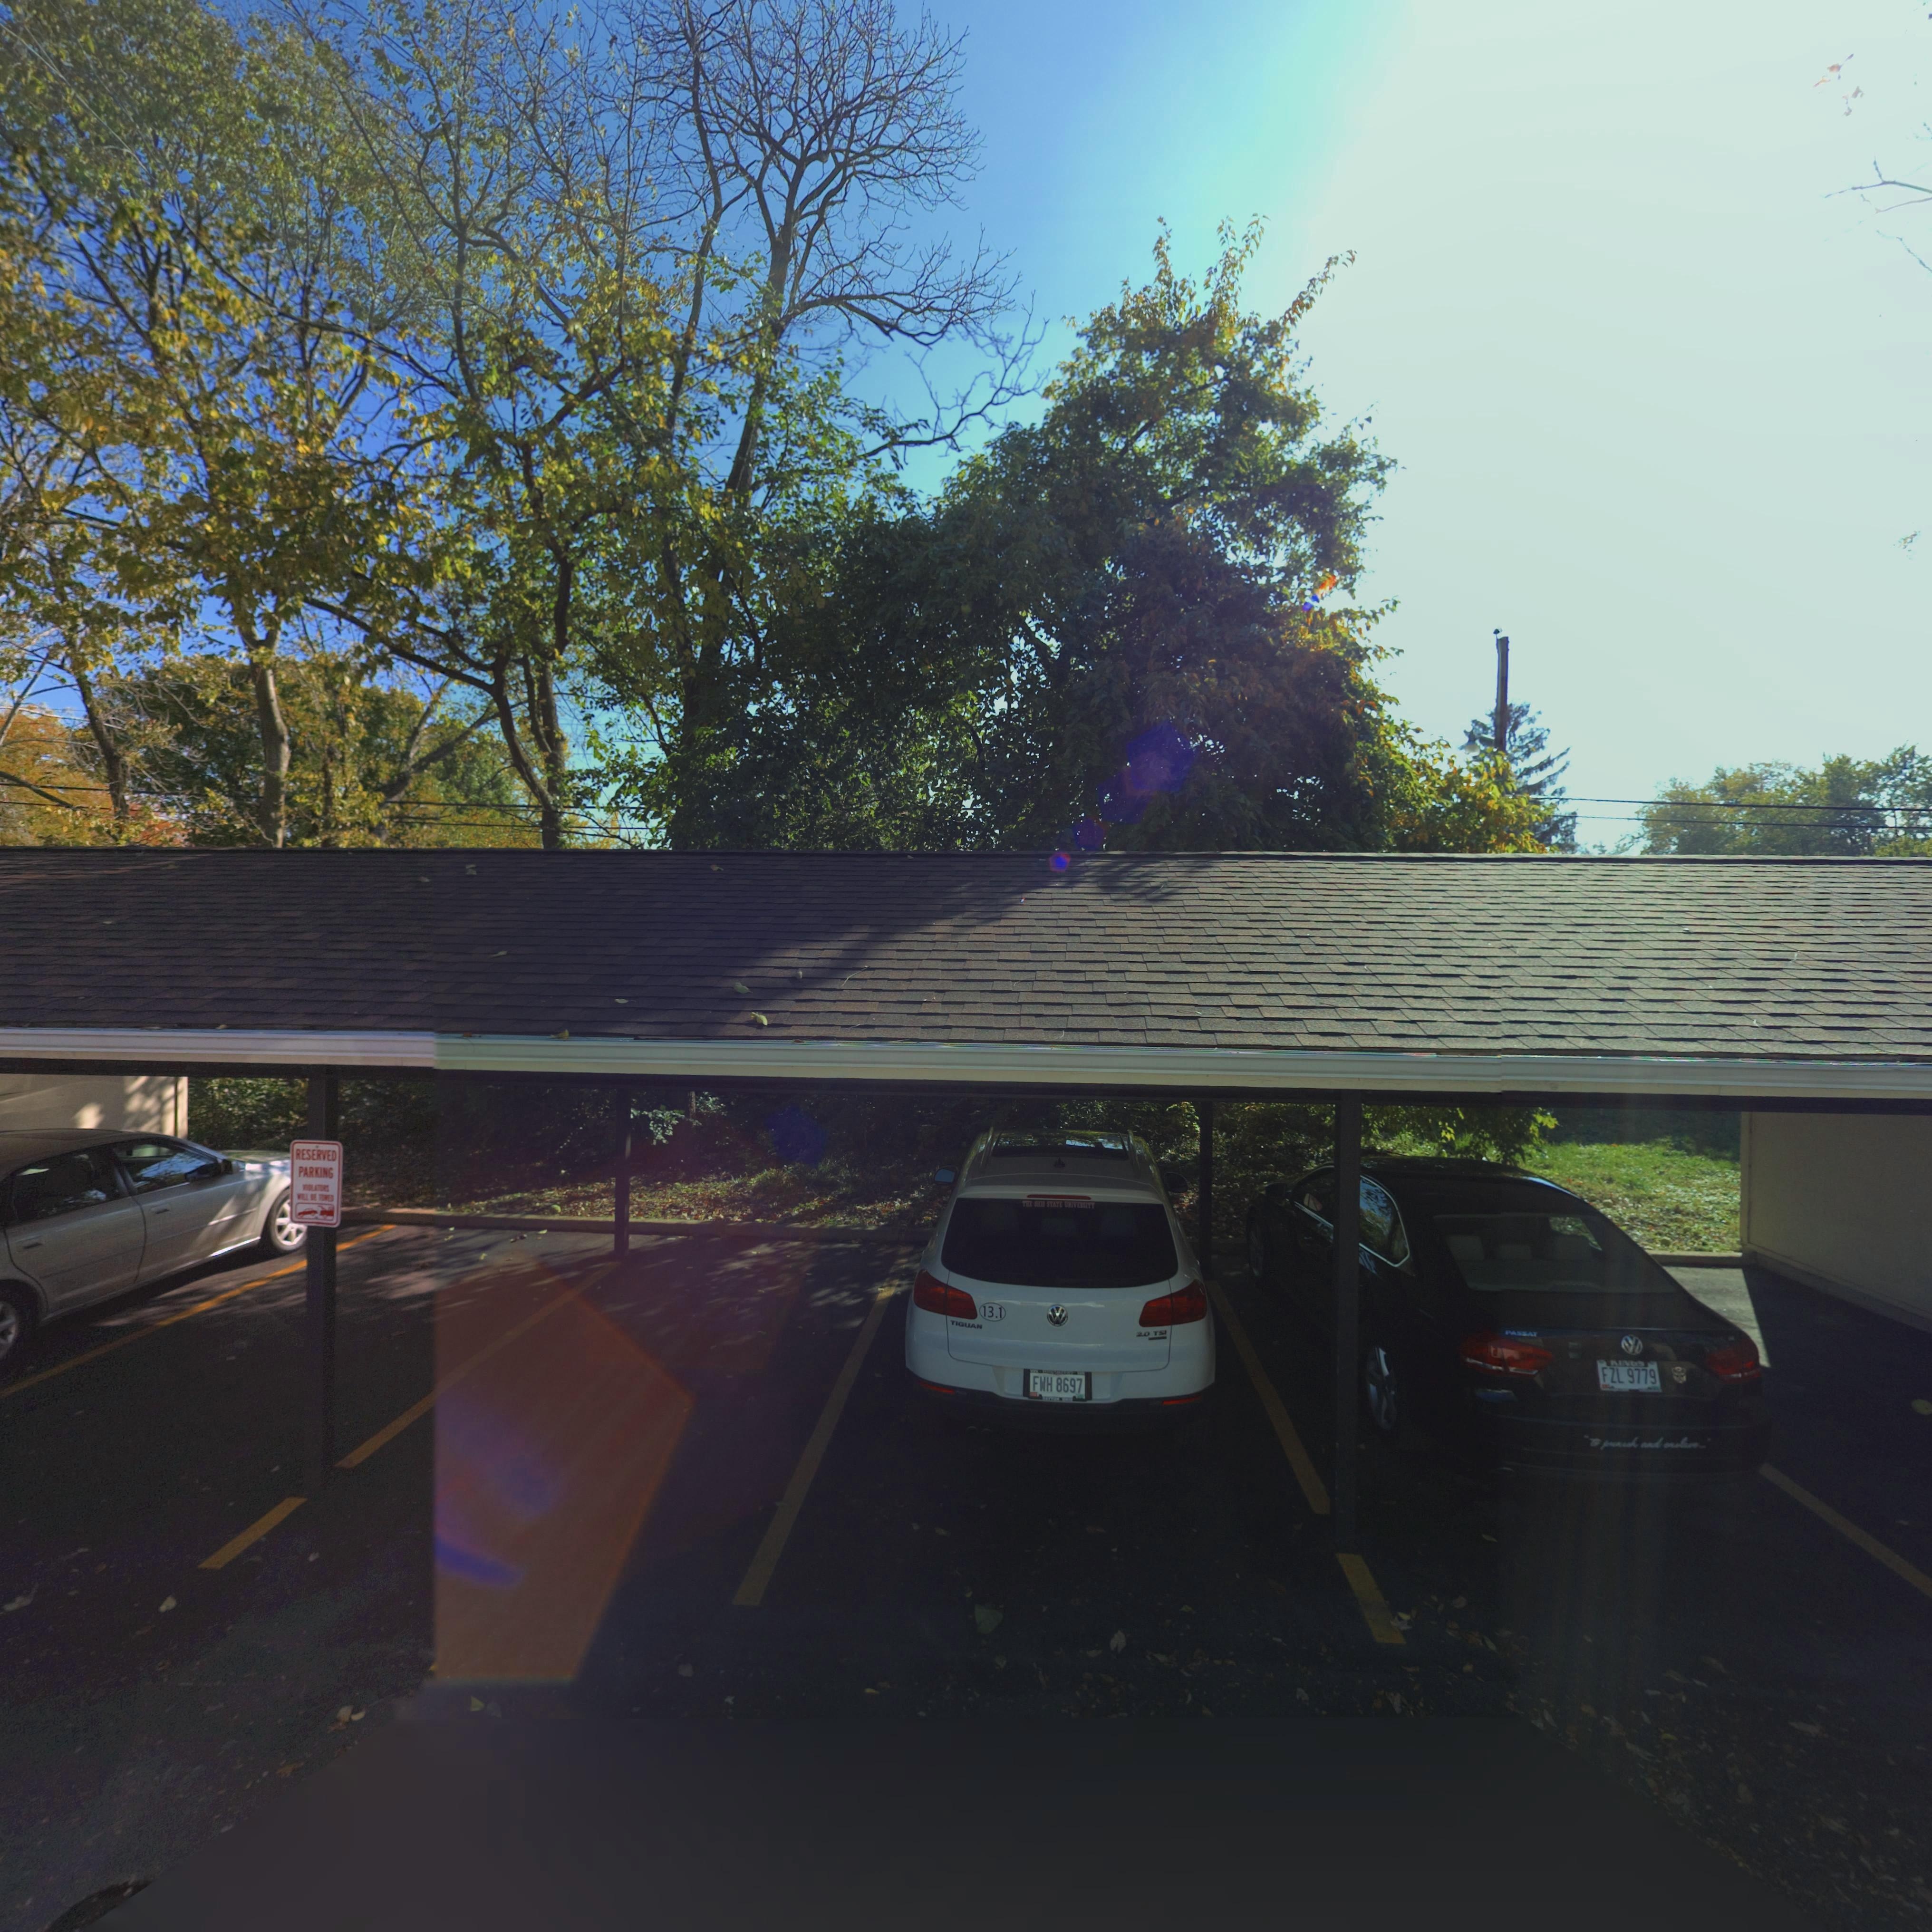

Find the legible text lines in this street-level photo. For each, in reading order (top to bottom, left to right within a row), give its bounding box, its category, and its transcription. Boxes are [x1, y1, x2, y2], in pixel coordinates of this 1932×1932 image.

[295, 1148, 337, 1162] None: RESERVED
[298, 1165, 334, 1179] None: PARKING
[302, 1183, 330, 1193] None: VIOLATORS
[296, 1193, 334, 1202] None: WILL BE TOWED
[1021, 1199, 1096, 1209] None: THE OHIO STATE UNIVERSITY
[983, 1305, 1003, 1319] None: 13.1
[950, 1319, 983, 1330] None: TIGUAN
[1135, 1329, 1167, 1338] None: 2.0 TSI
[1505, 1329, 1538, 1337] None: PASSAT
[1609, 1359, 1645, 1367] None: *IN**
[1600, 1366, 1658, 1385] None: FZL*9779
[1032, 1375, 1083, 1394] None: FWH*8697
[1588, 1436, 1708, 1452] None: to punish and *nslave...